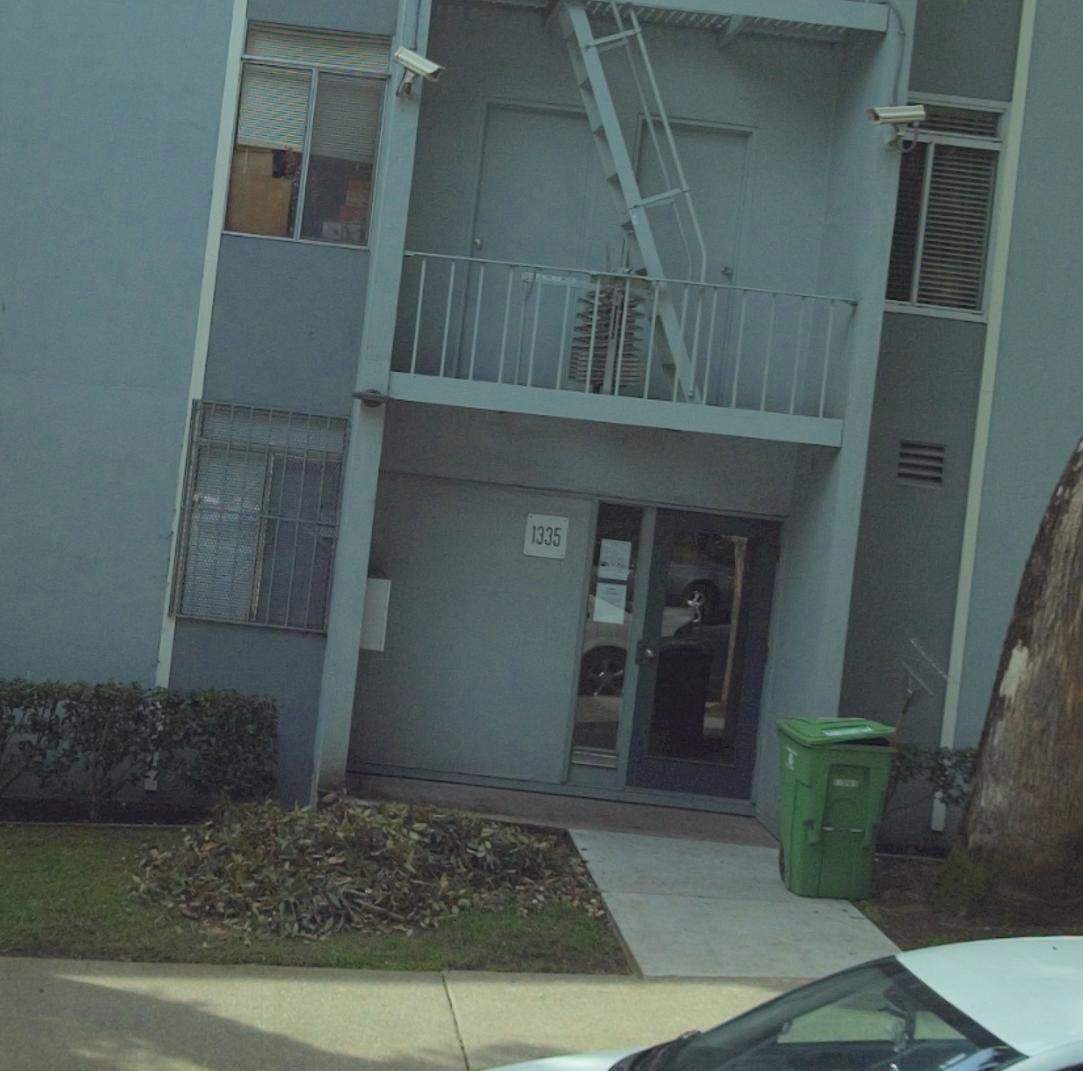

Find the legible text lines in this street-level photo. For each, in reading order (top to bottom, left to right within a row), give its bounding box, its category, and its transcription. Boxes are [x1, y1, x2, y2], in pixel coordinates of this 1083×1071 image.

[528, 522, 565, 550] StreetNumber: 1335